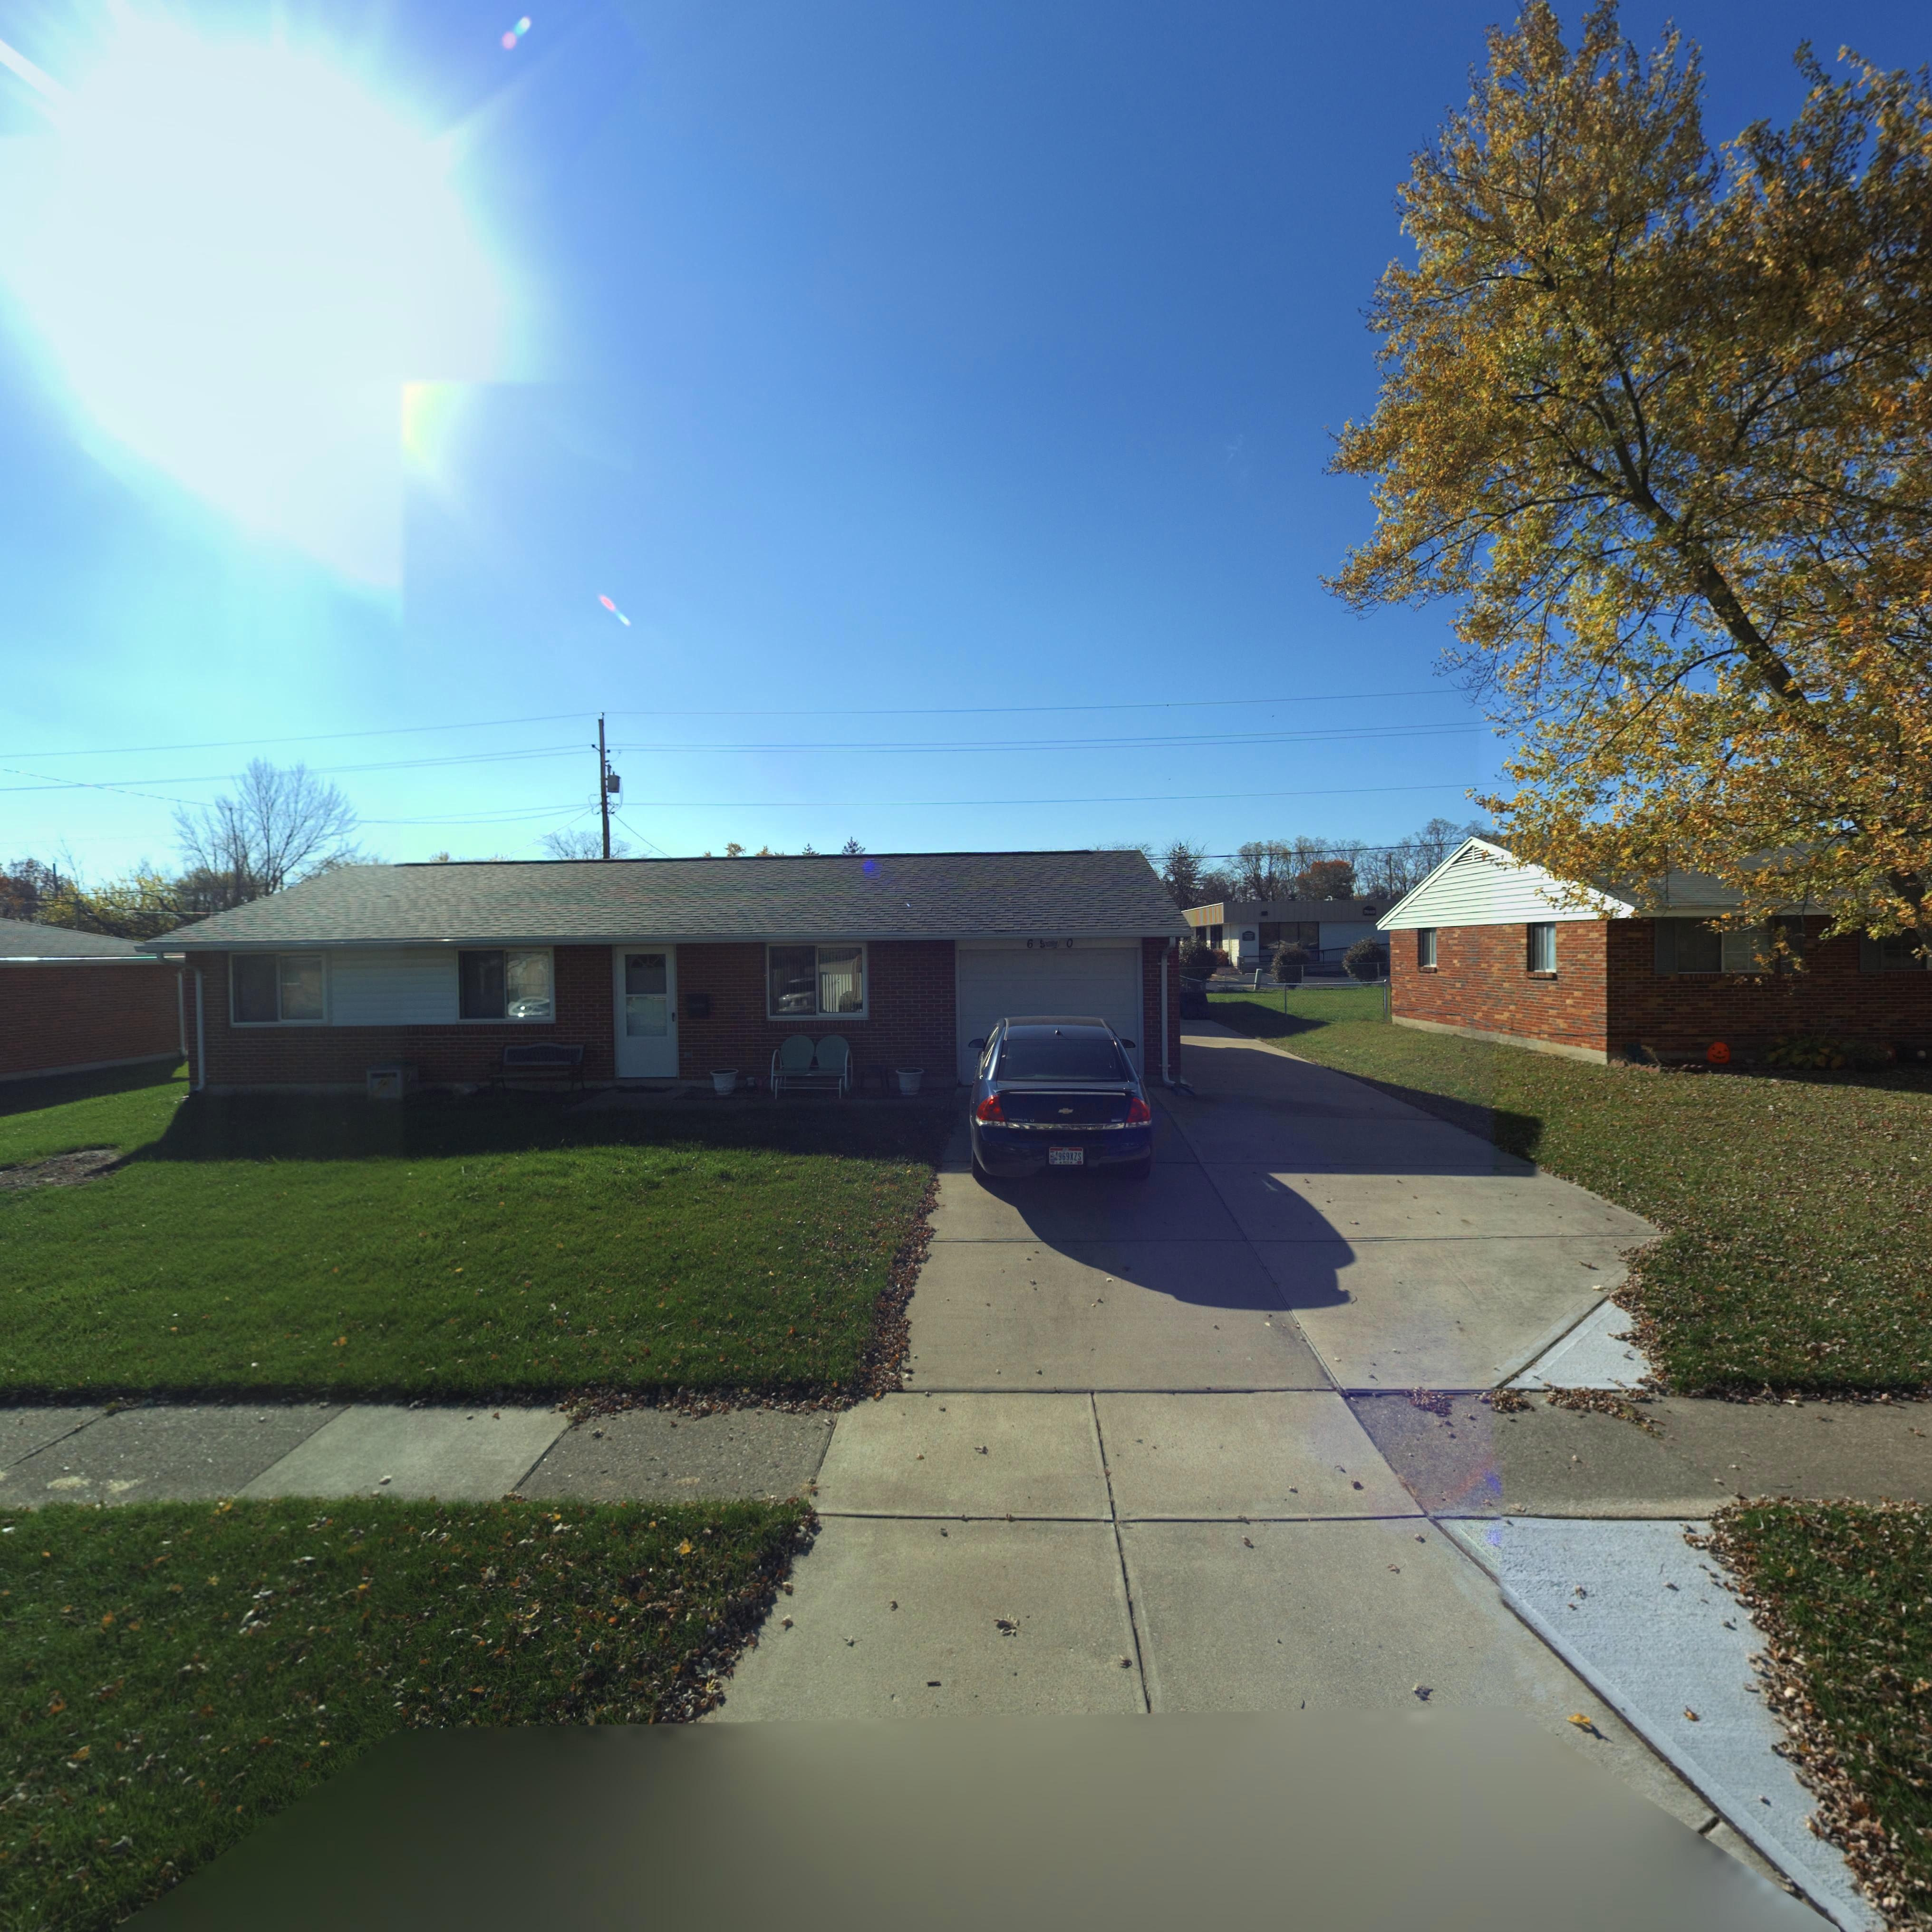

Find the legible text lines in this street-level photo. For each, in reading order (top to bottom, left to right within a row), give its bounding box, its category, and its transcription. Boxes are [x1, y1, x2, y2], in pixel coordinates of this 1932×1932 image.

[1026, 938, 1073, 948] StreetNumber: 6**0